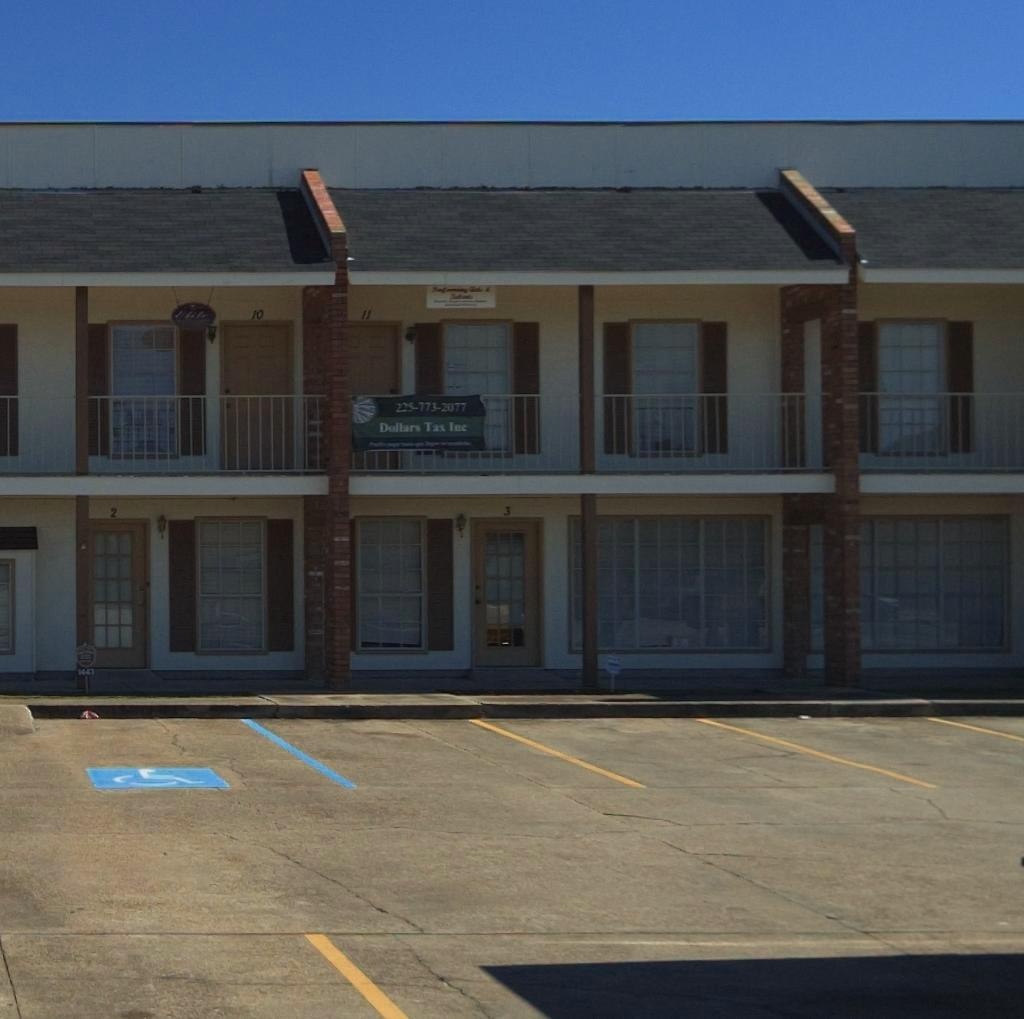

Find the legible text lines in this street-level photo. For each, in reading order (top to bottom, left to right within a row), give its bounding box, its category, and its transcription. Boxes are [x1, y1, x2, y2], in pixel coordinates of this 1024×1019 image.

[247, 307, 266, 322] StreetNumber: 10
[358, 307, 374, 322] StreetNumber: 11
[392, 400, 470, 416] None: 225-773-2077
[378, 420, 470, 434] None: Dollars Tax Inc
[108, 505, 120, 519] StreetNumber: 2
[502, 504, 513, 518] StreetNumber: 3
[76, 666, 96, 677] StreetNumber: 1443